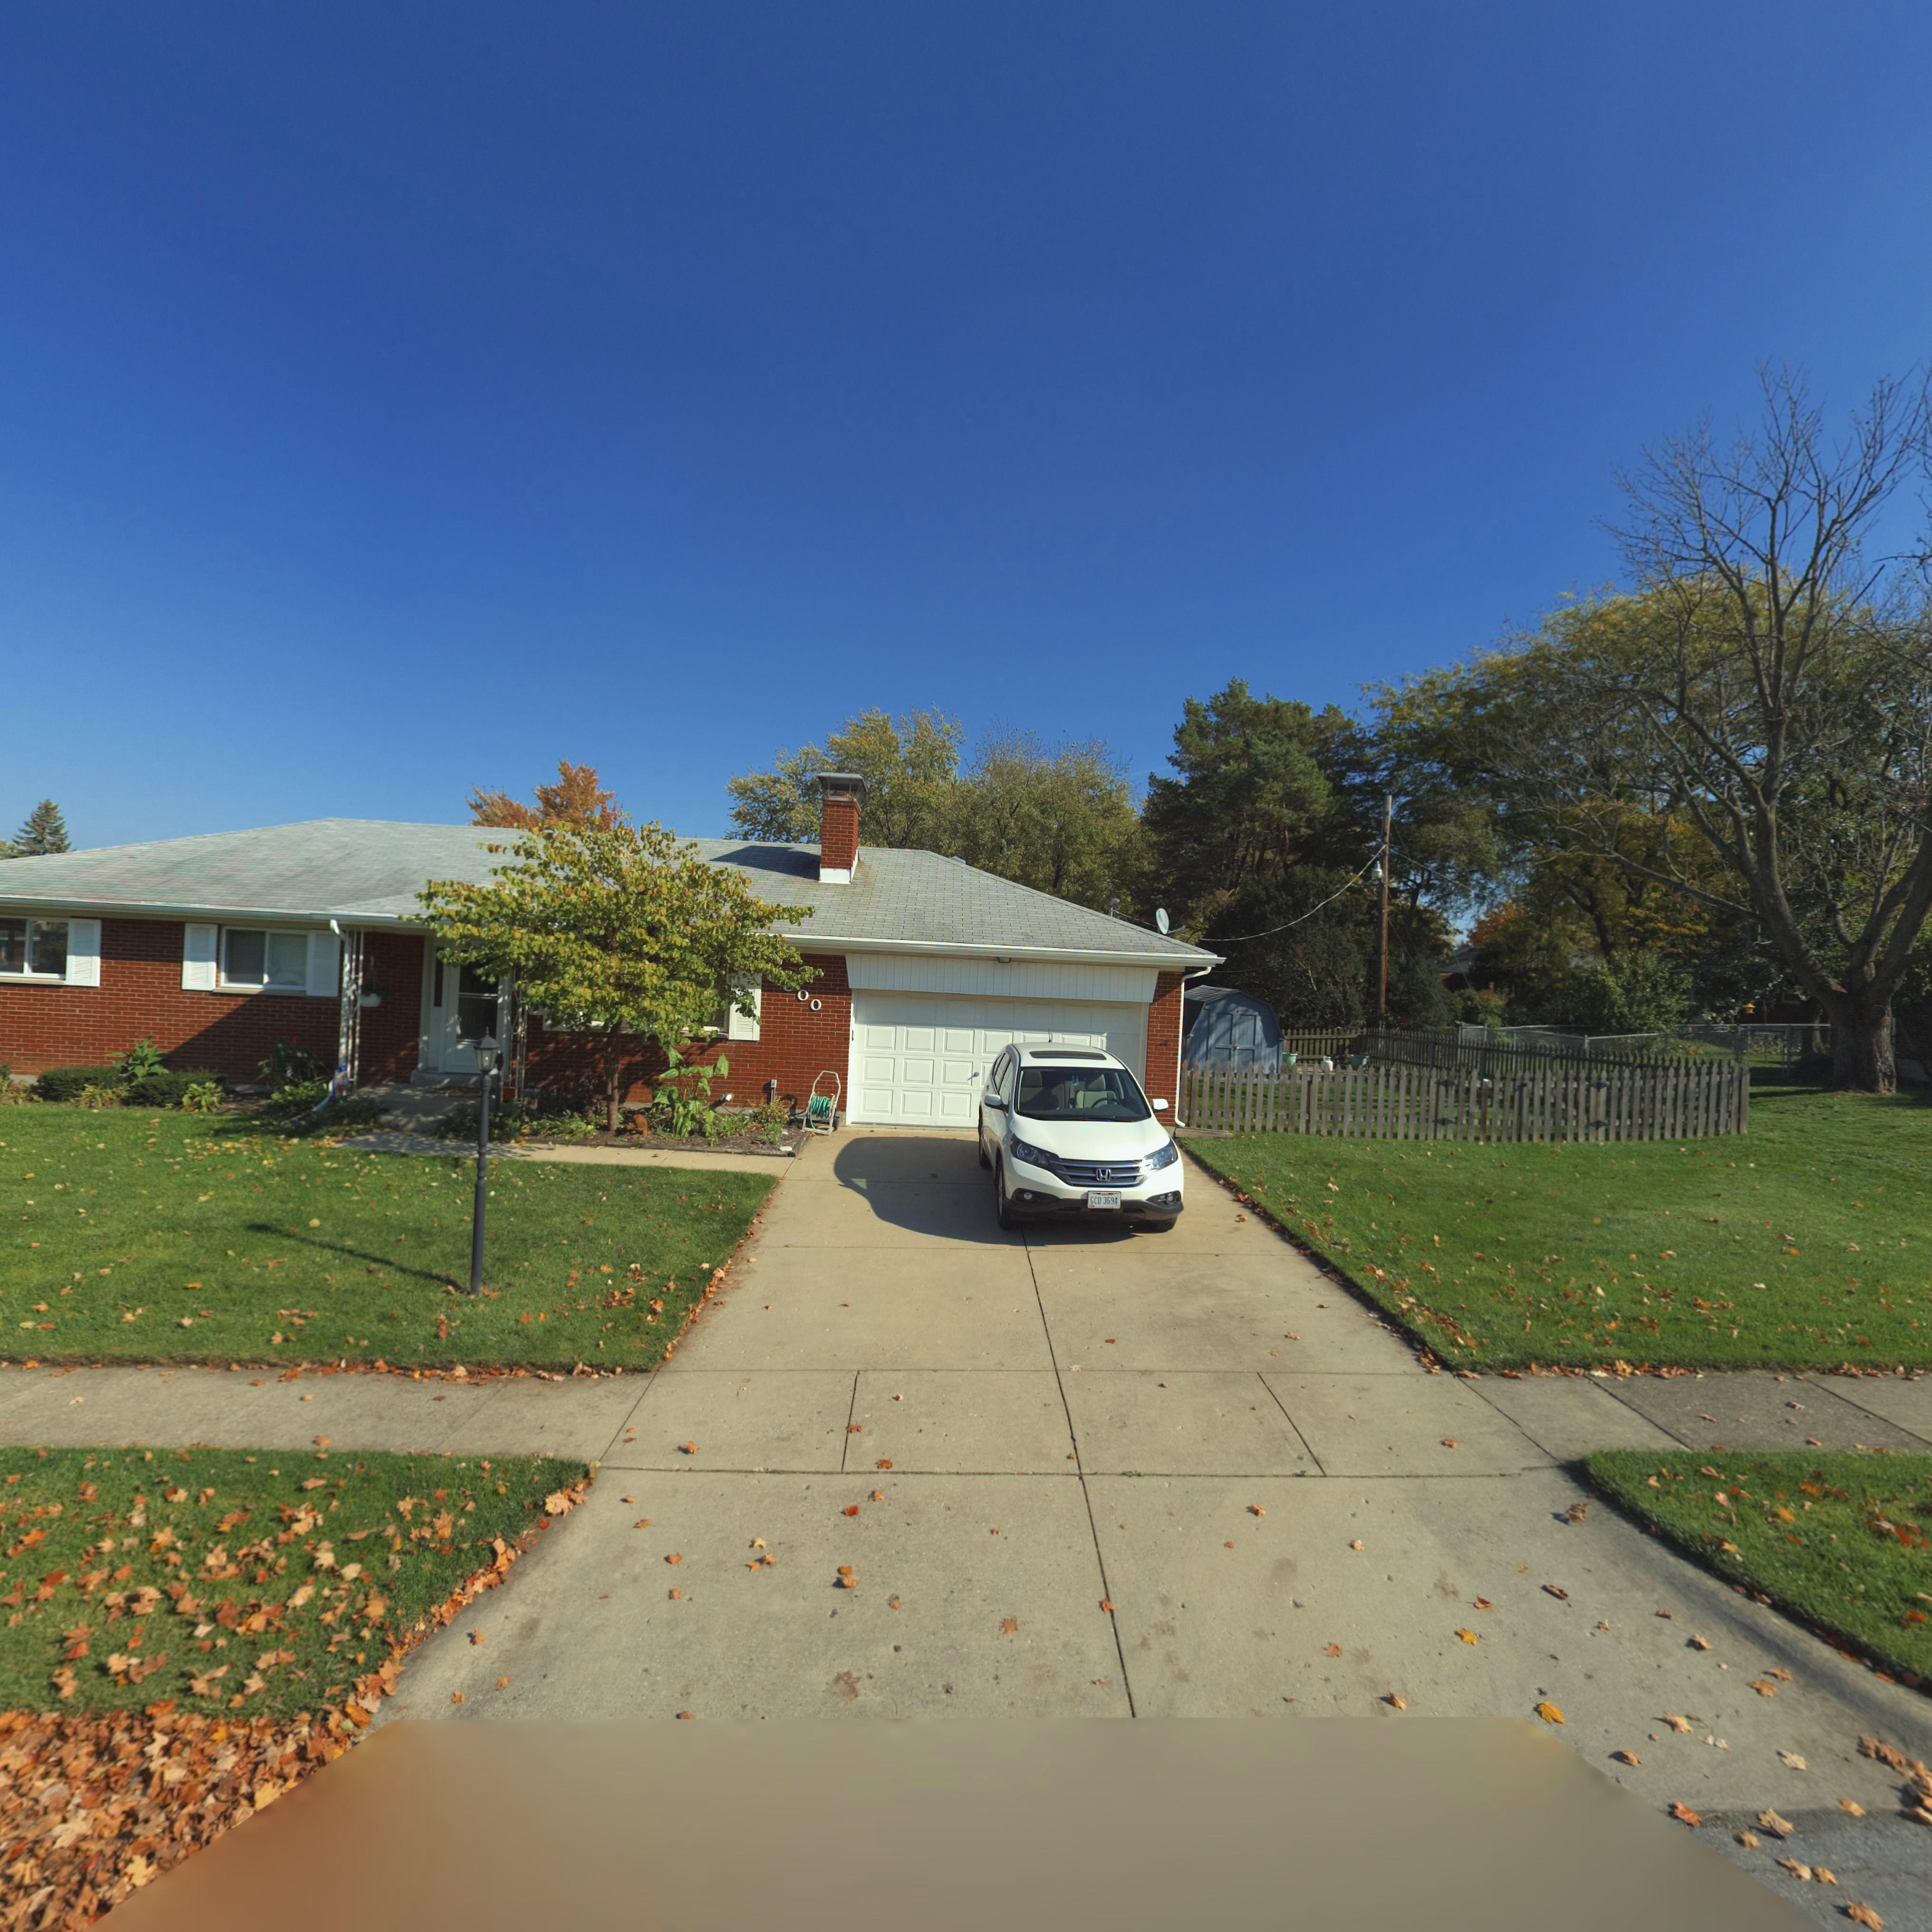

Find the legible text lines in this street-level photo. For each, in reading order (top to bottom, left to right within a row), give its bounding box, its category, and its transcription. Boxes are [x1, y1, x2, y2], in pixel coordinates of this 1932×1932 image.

[796, 988, 823, 1012] StreetNumber: 00
[1089, 1195, 1119, 1207] None: CCD 3694